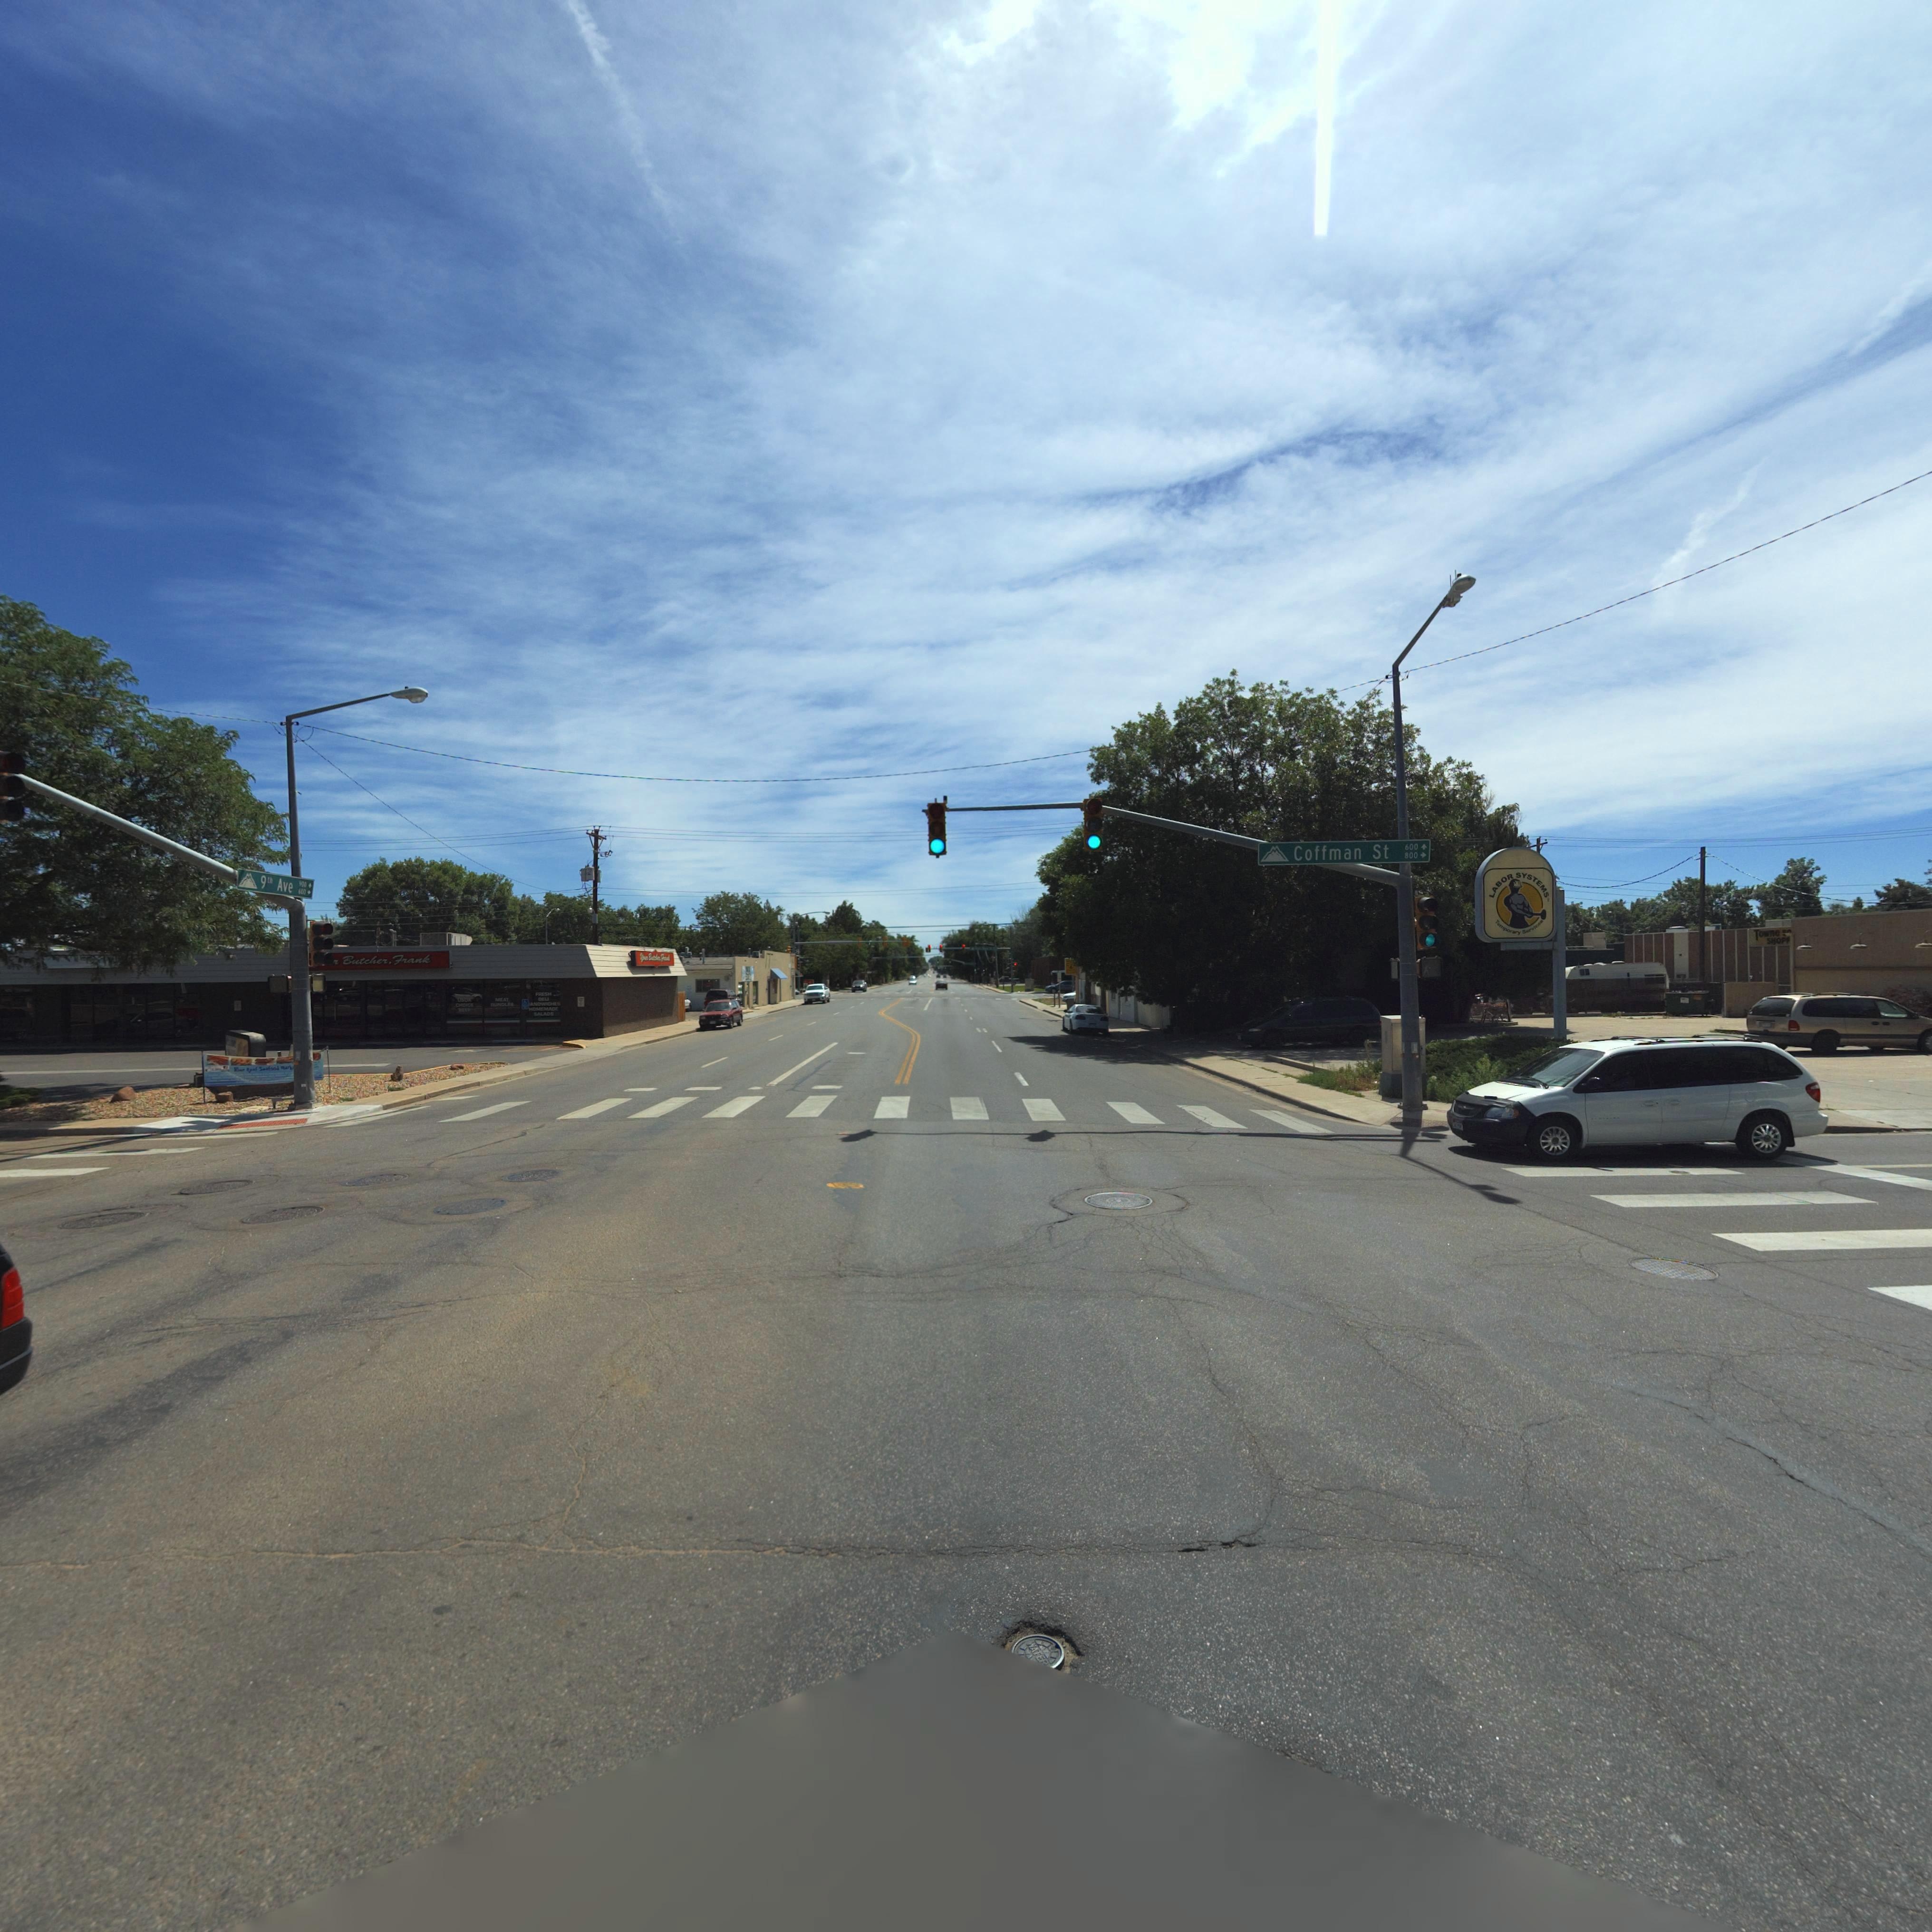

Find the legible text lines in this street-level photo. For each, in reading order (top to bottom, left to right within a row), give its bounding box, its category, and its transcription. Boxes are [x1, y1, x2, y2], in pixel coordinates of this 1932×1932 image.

[1404, 842, 1419, 850] StreetNumberRange: 600
[1294, 843, 1390, 862] StreetName: Coffman St
[1404, 851, 1428, 859] StreetNumberRange: 800->
[260, 875, 293, 893] StreetName: 9** Ave
[298, 880, 307, 888] StreetNumberRange: *0*
[1488, 872, 1550, 898] BusinessName: LABOR SYSTEMS 
[298, 888, 312, 895] StreetNumberRange: *00*
[333, 953, 431, 966] BusinessName: r Butcher, Frank
[639, 952, 670, 963] BusinessName: Y**** B****** F****